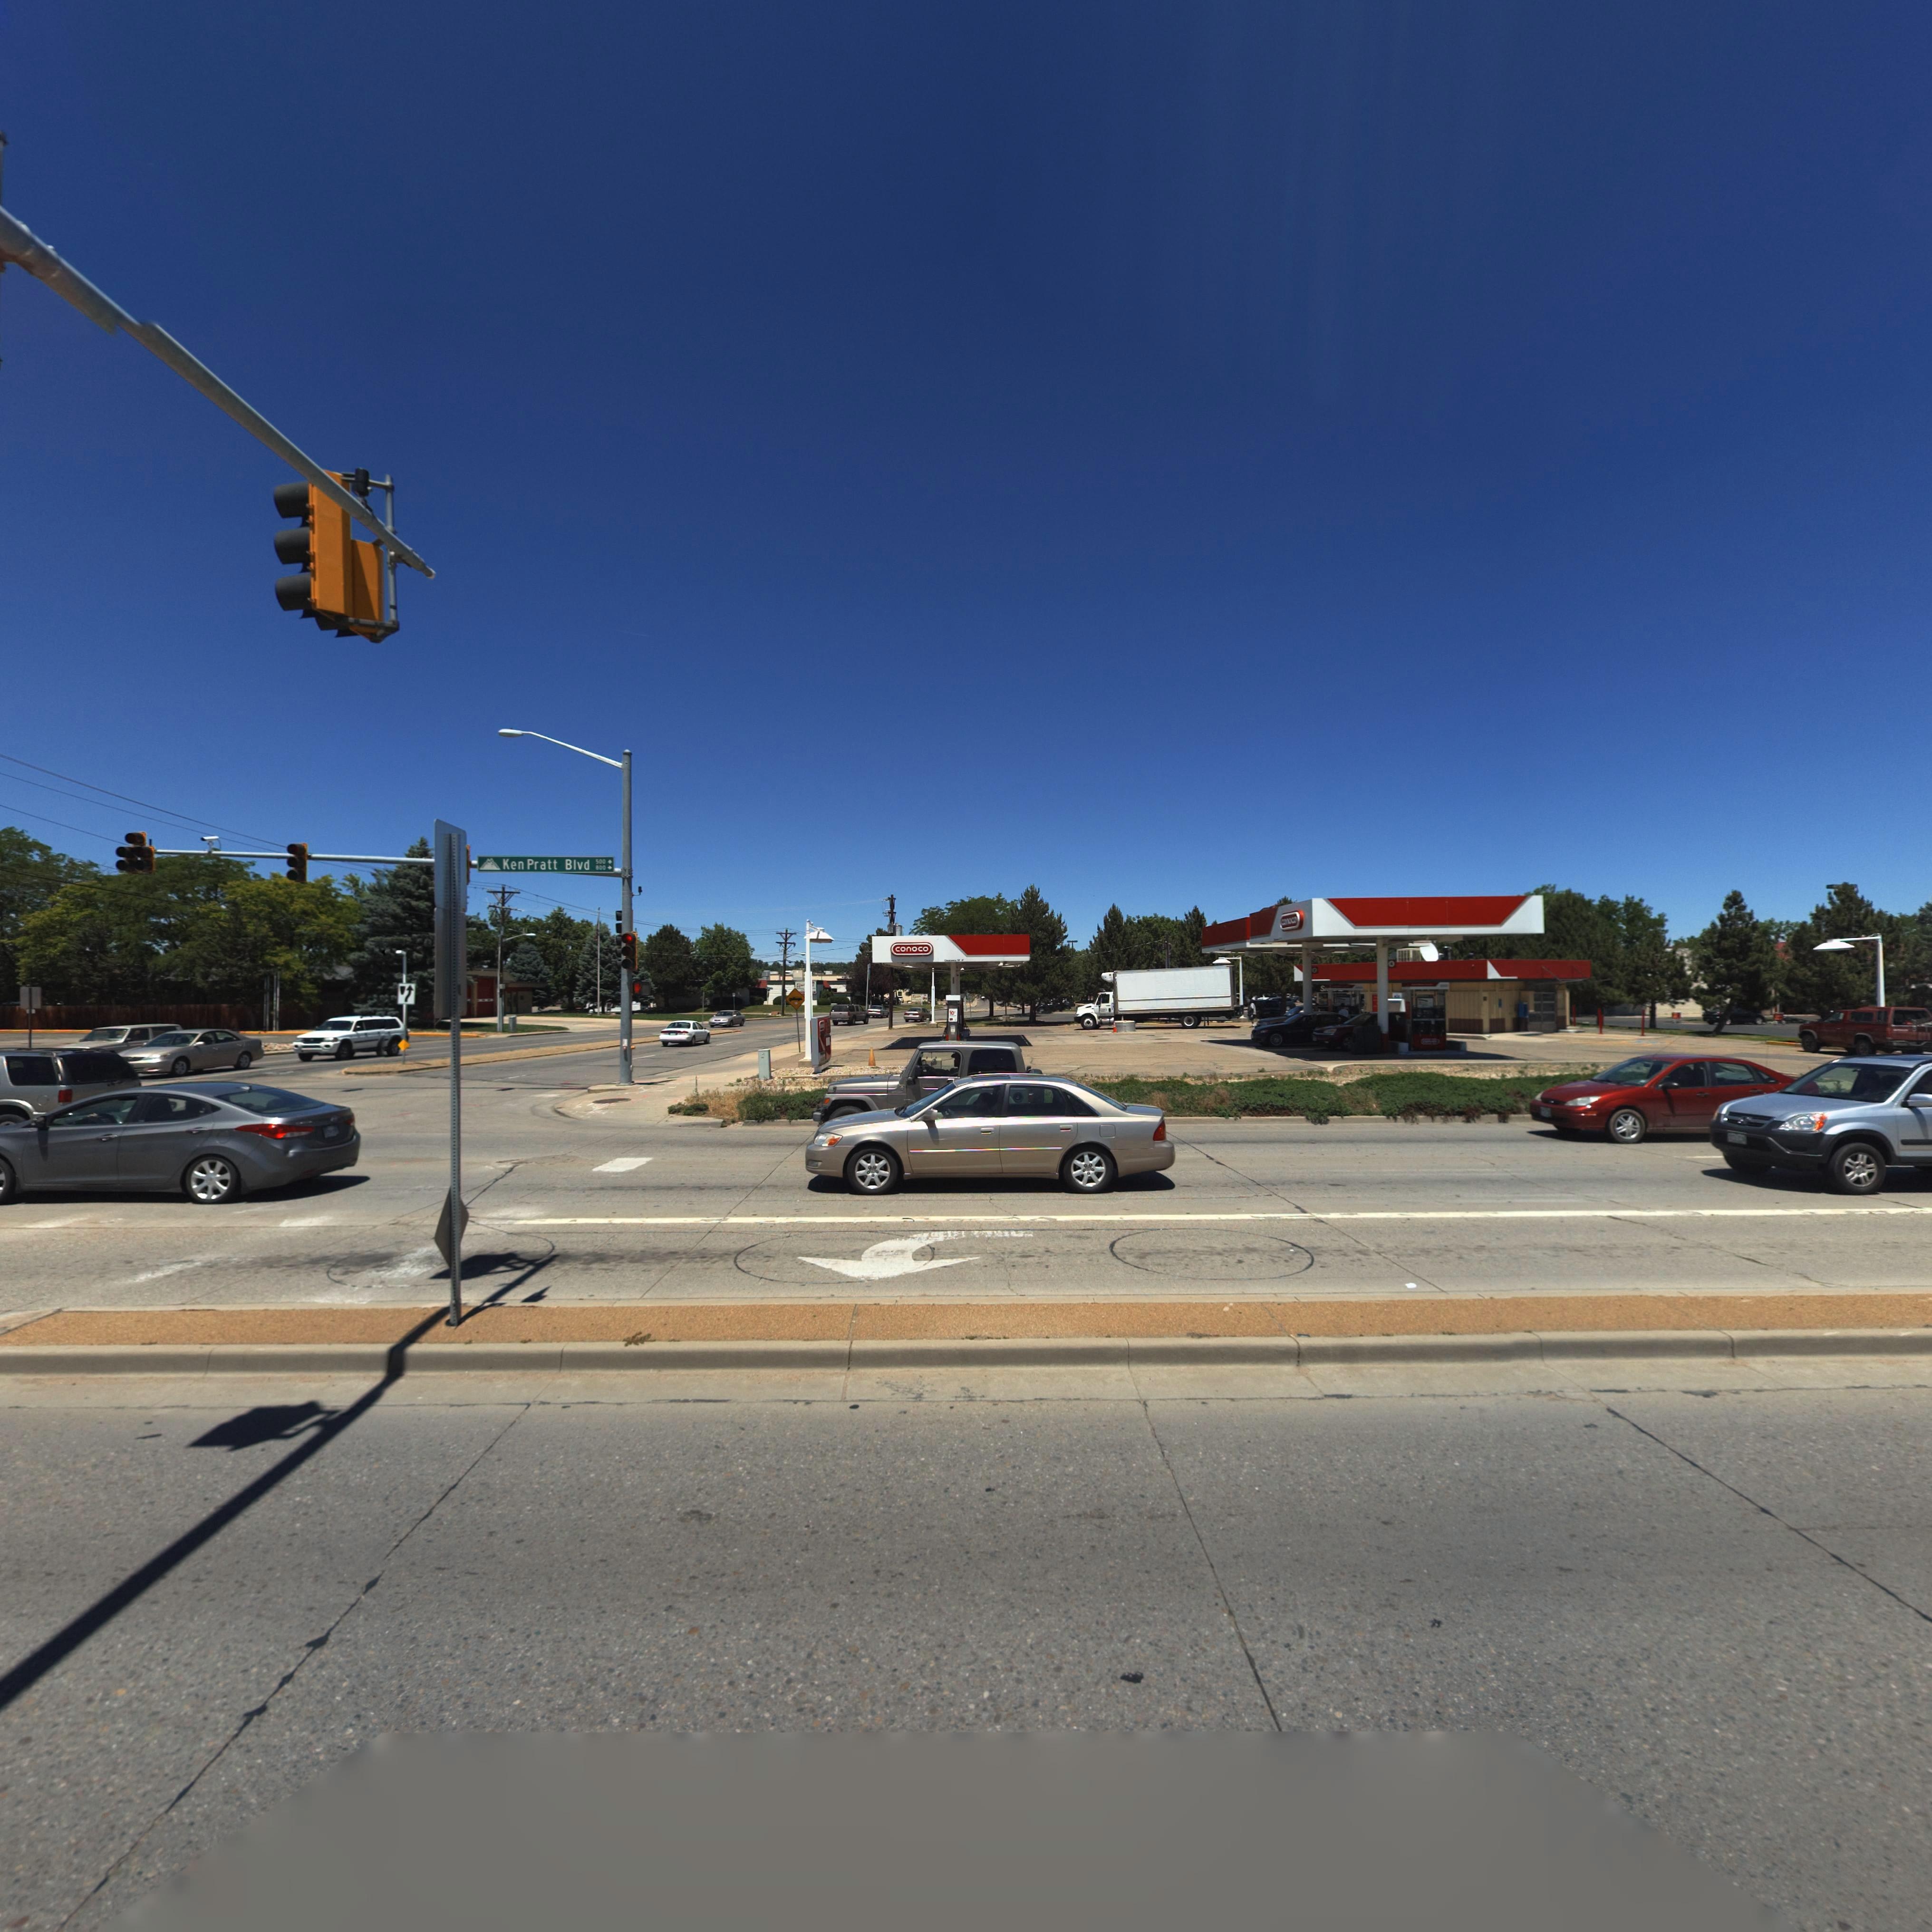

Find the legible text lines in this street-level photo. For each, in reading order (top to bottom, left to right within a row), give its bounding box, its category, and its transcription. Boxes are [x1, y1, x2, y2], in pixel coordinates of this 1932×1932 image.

[502, 858, 590, 871] StreetName: Ken Pratt Blvd
[595, 858, 606, 864] StreetNumberRange: 500
[595, 864, 612, 870] StreetNumberRange: 800->
[1280, 916, 1297, 926] BusinessName: conoco
[895, 946, 928, 952] BusinessName: conoco